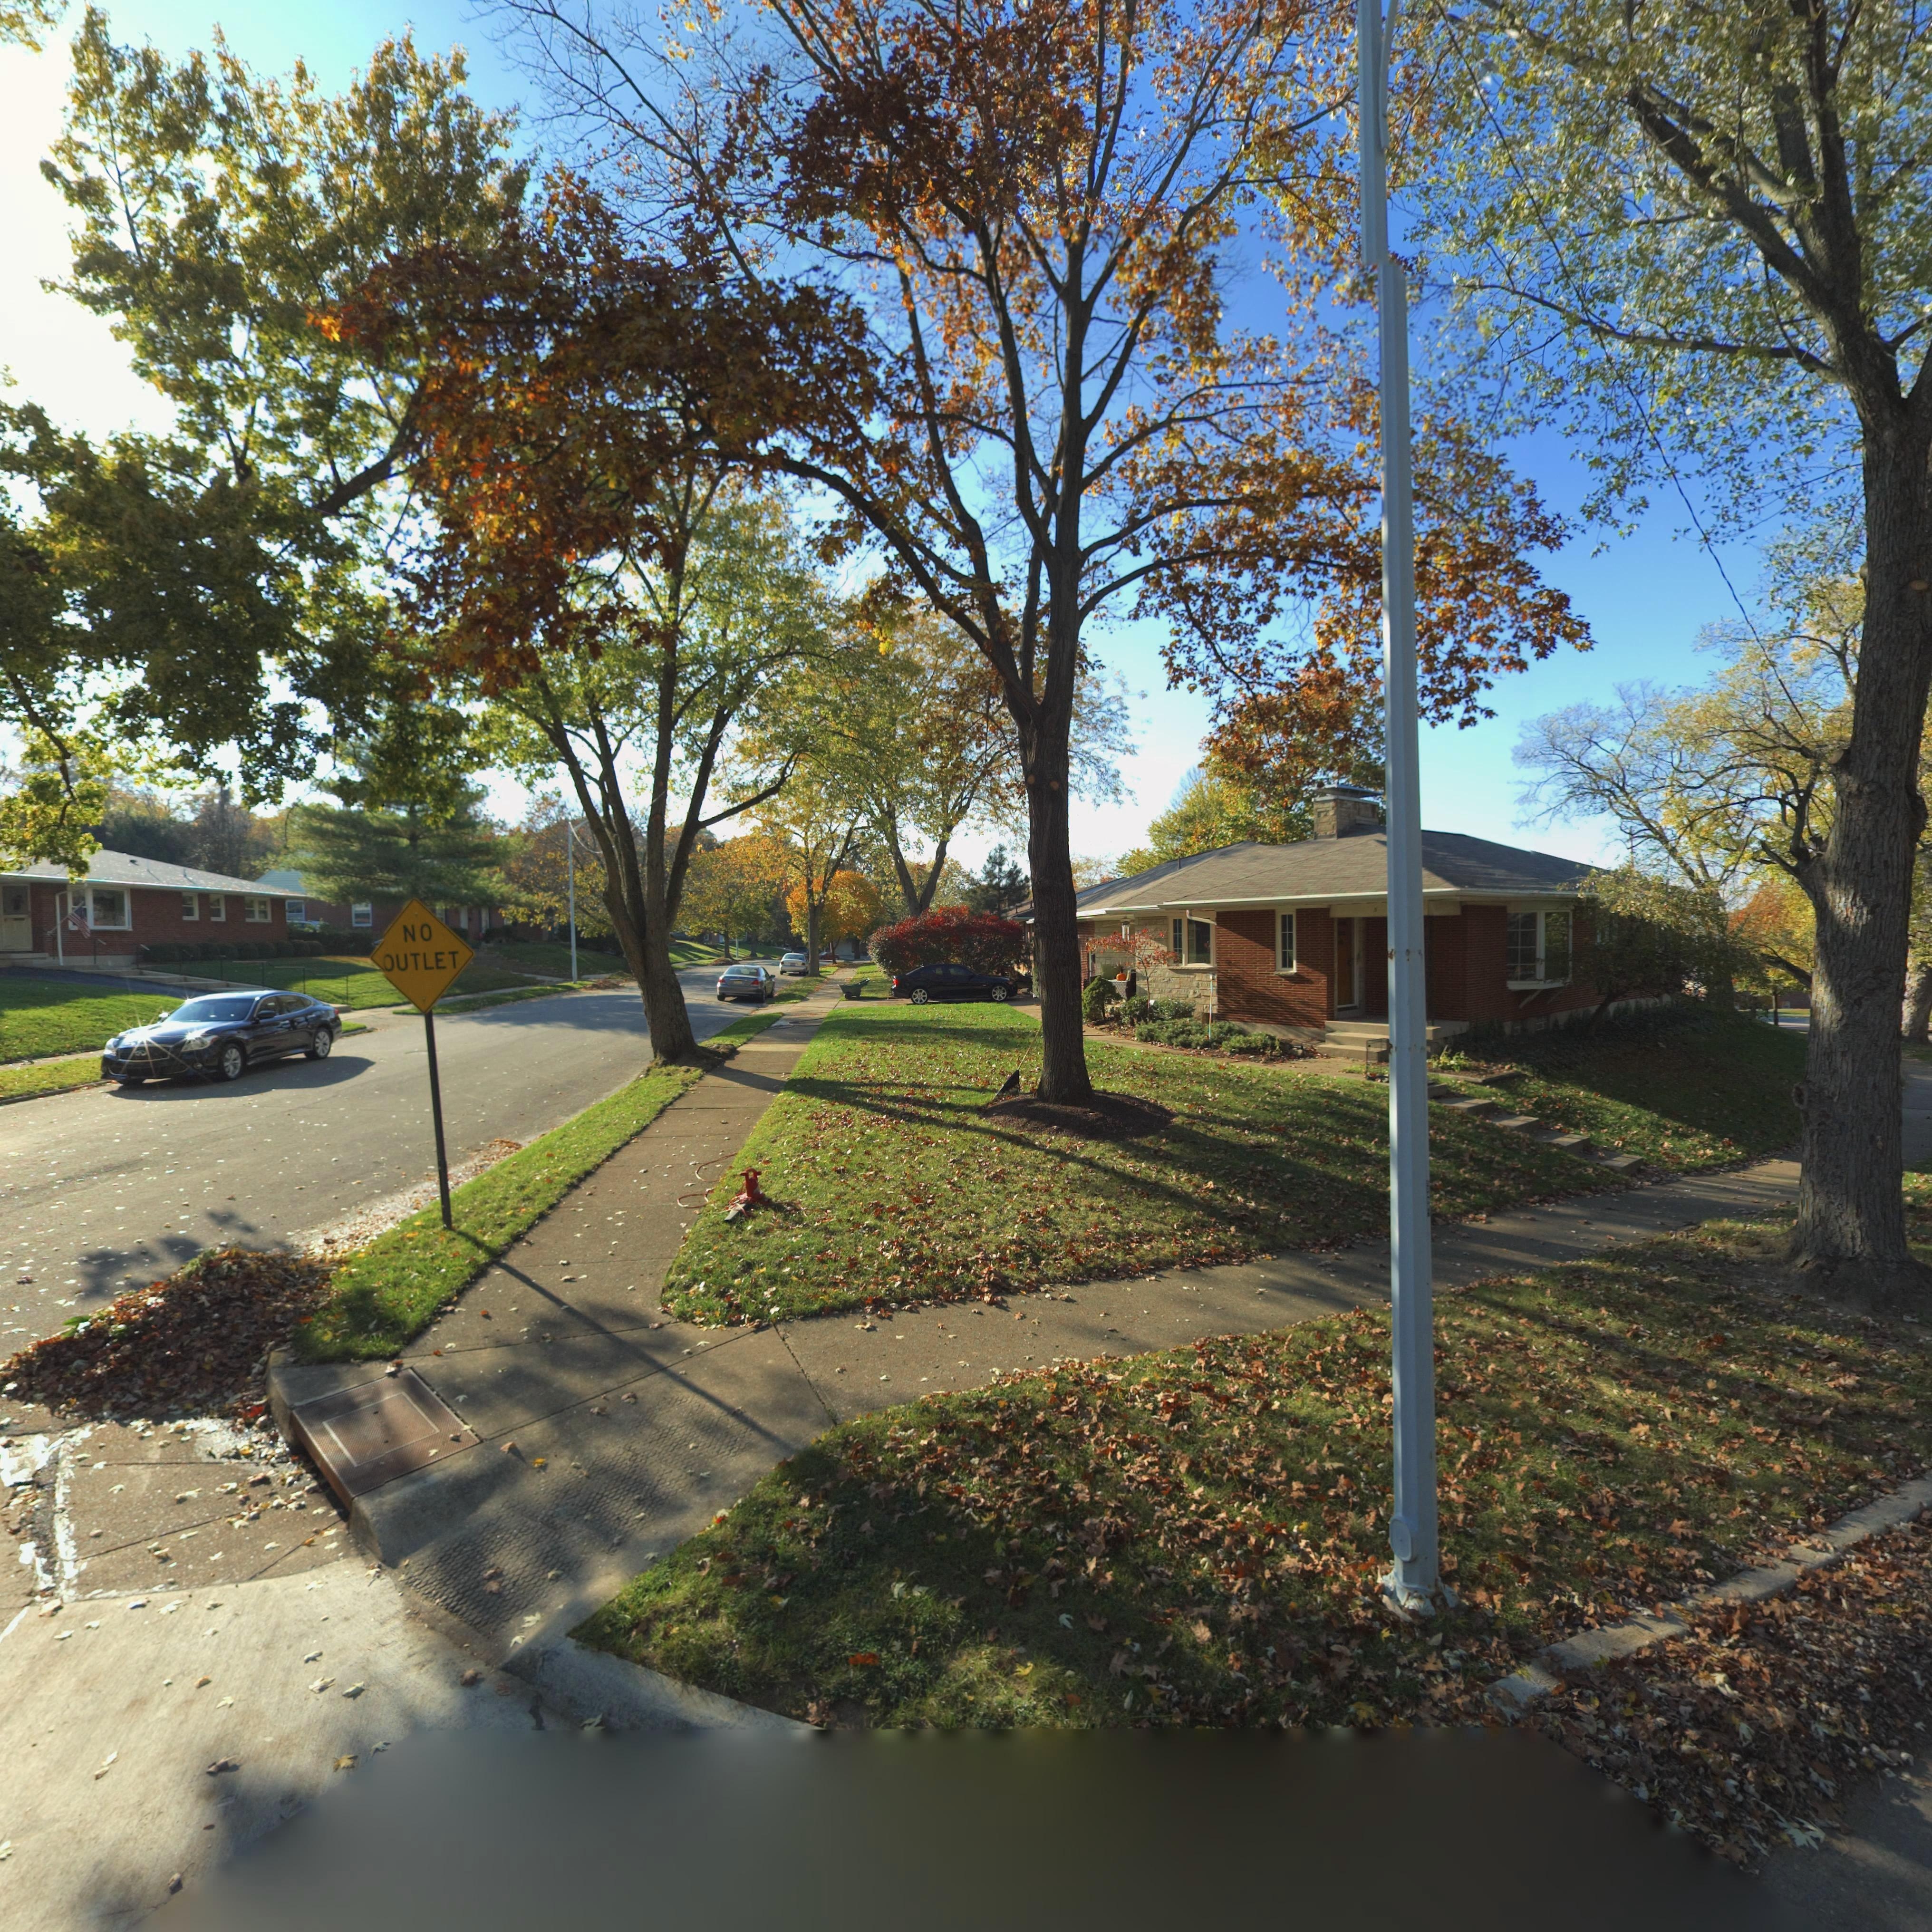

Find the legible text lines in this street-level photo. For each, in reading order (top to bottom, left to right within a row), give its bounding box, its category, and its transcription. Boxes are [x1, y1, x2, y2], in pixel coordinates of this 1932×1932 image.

[1373, 907, 1377, 913] StreetNumber: 5